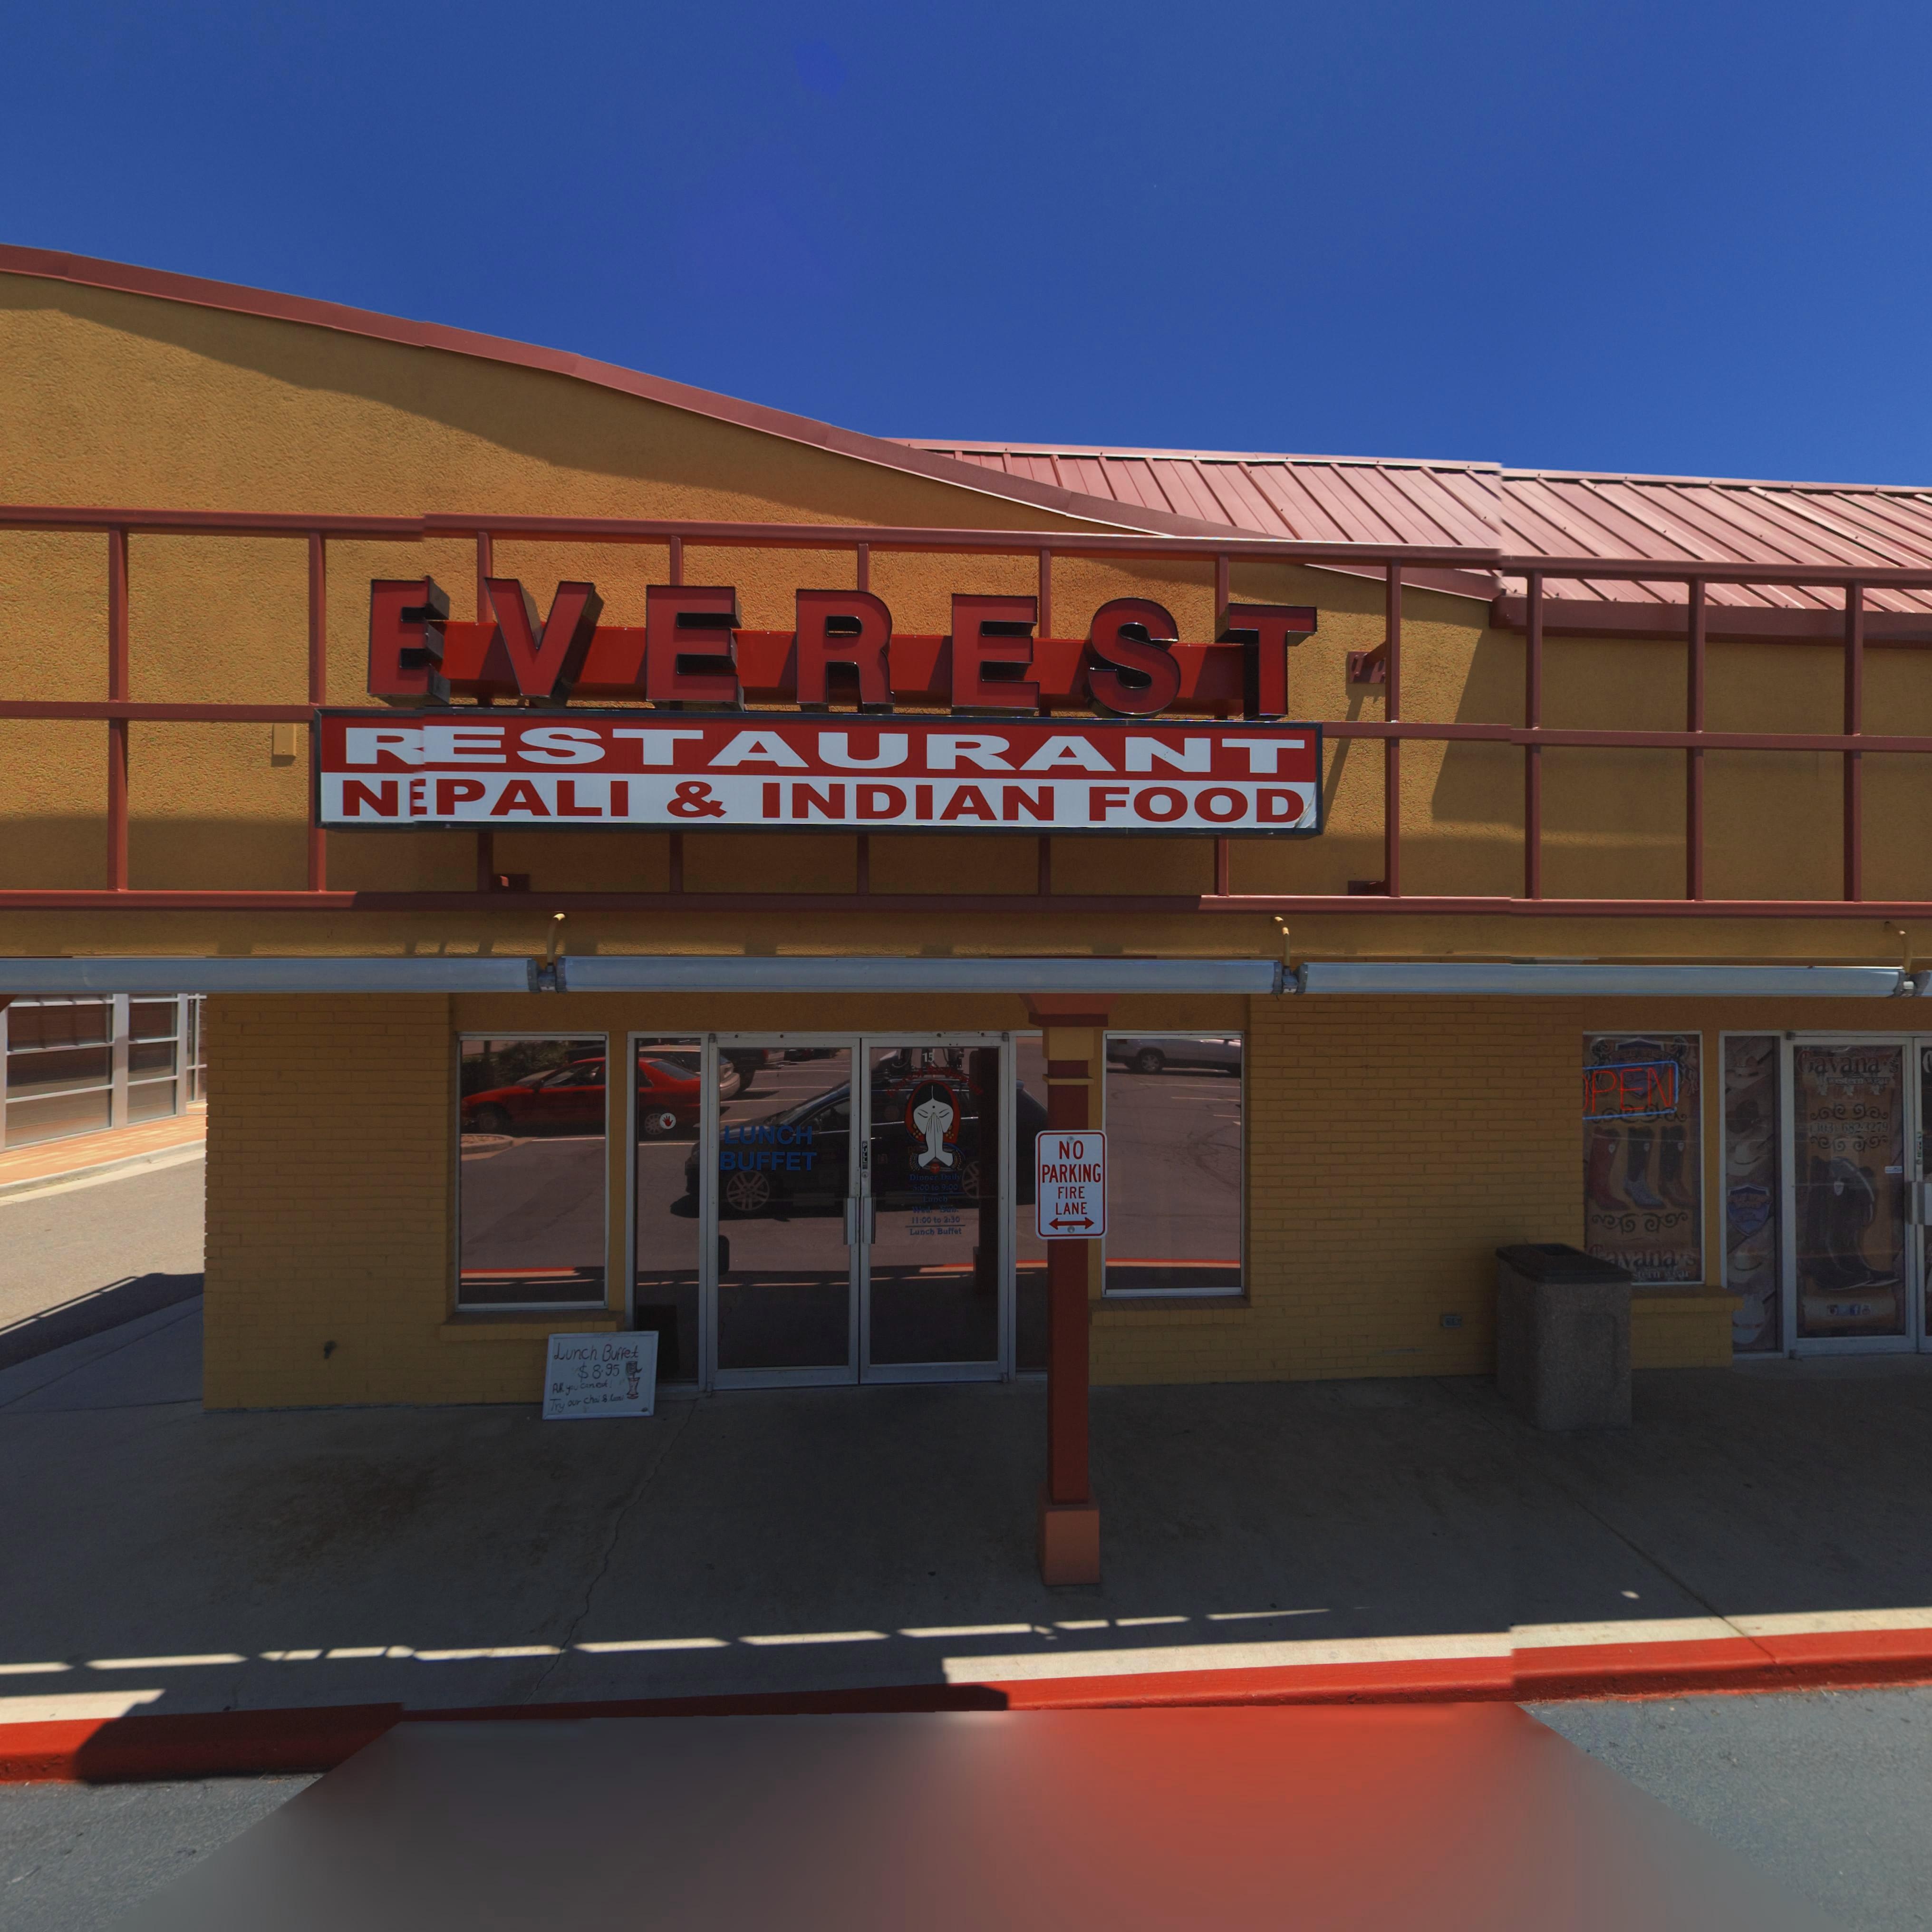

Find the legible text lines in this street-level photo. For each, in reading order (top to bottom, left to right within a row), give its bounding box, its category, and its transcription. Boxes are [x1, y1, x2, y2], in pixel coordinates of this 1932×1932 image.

[921, 1052, 936, 1063] StreetNumber: 15
[1793, 1047, 1902, 1074] BusinessName: Gavana*s
[884, 1065, 985, 1099] BusinessName: Everest Restaurant
[1585, 1242, 1700, 1267] BusinessName: *avana*s